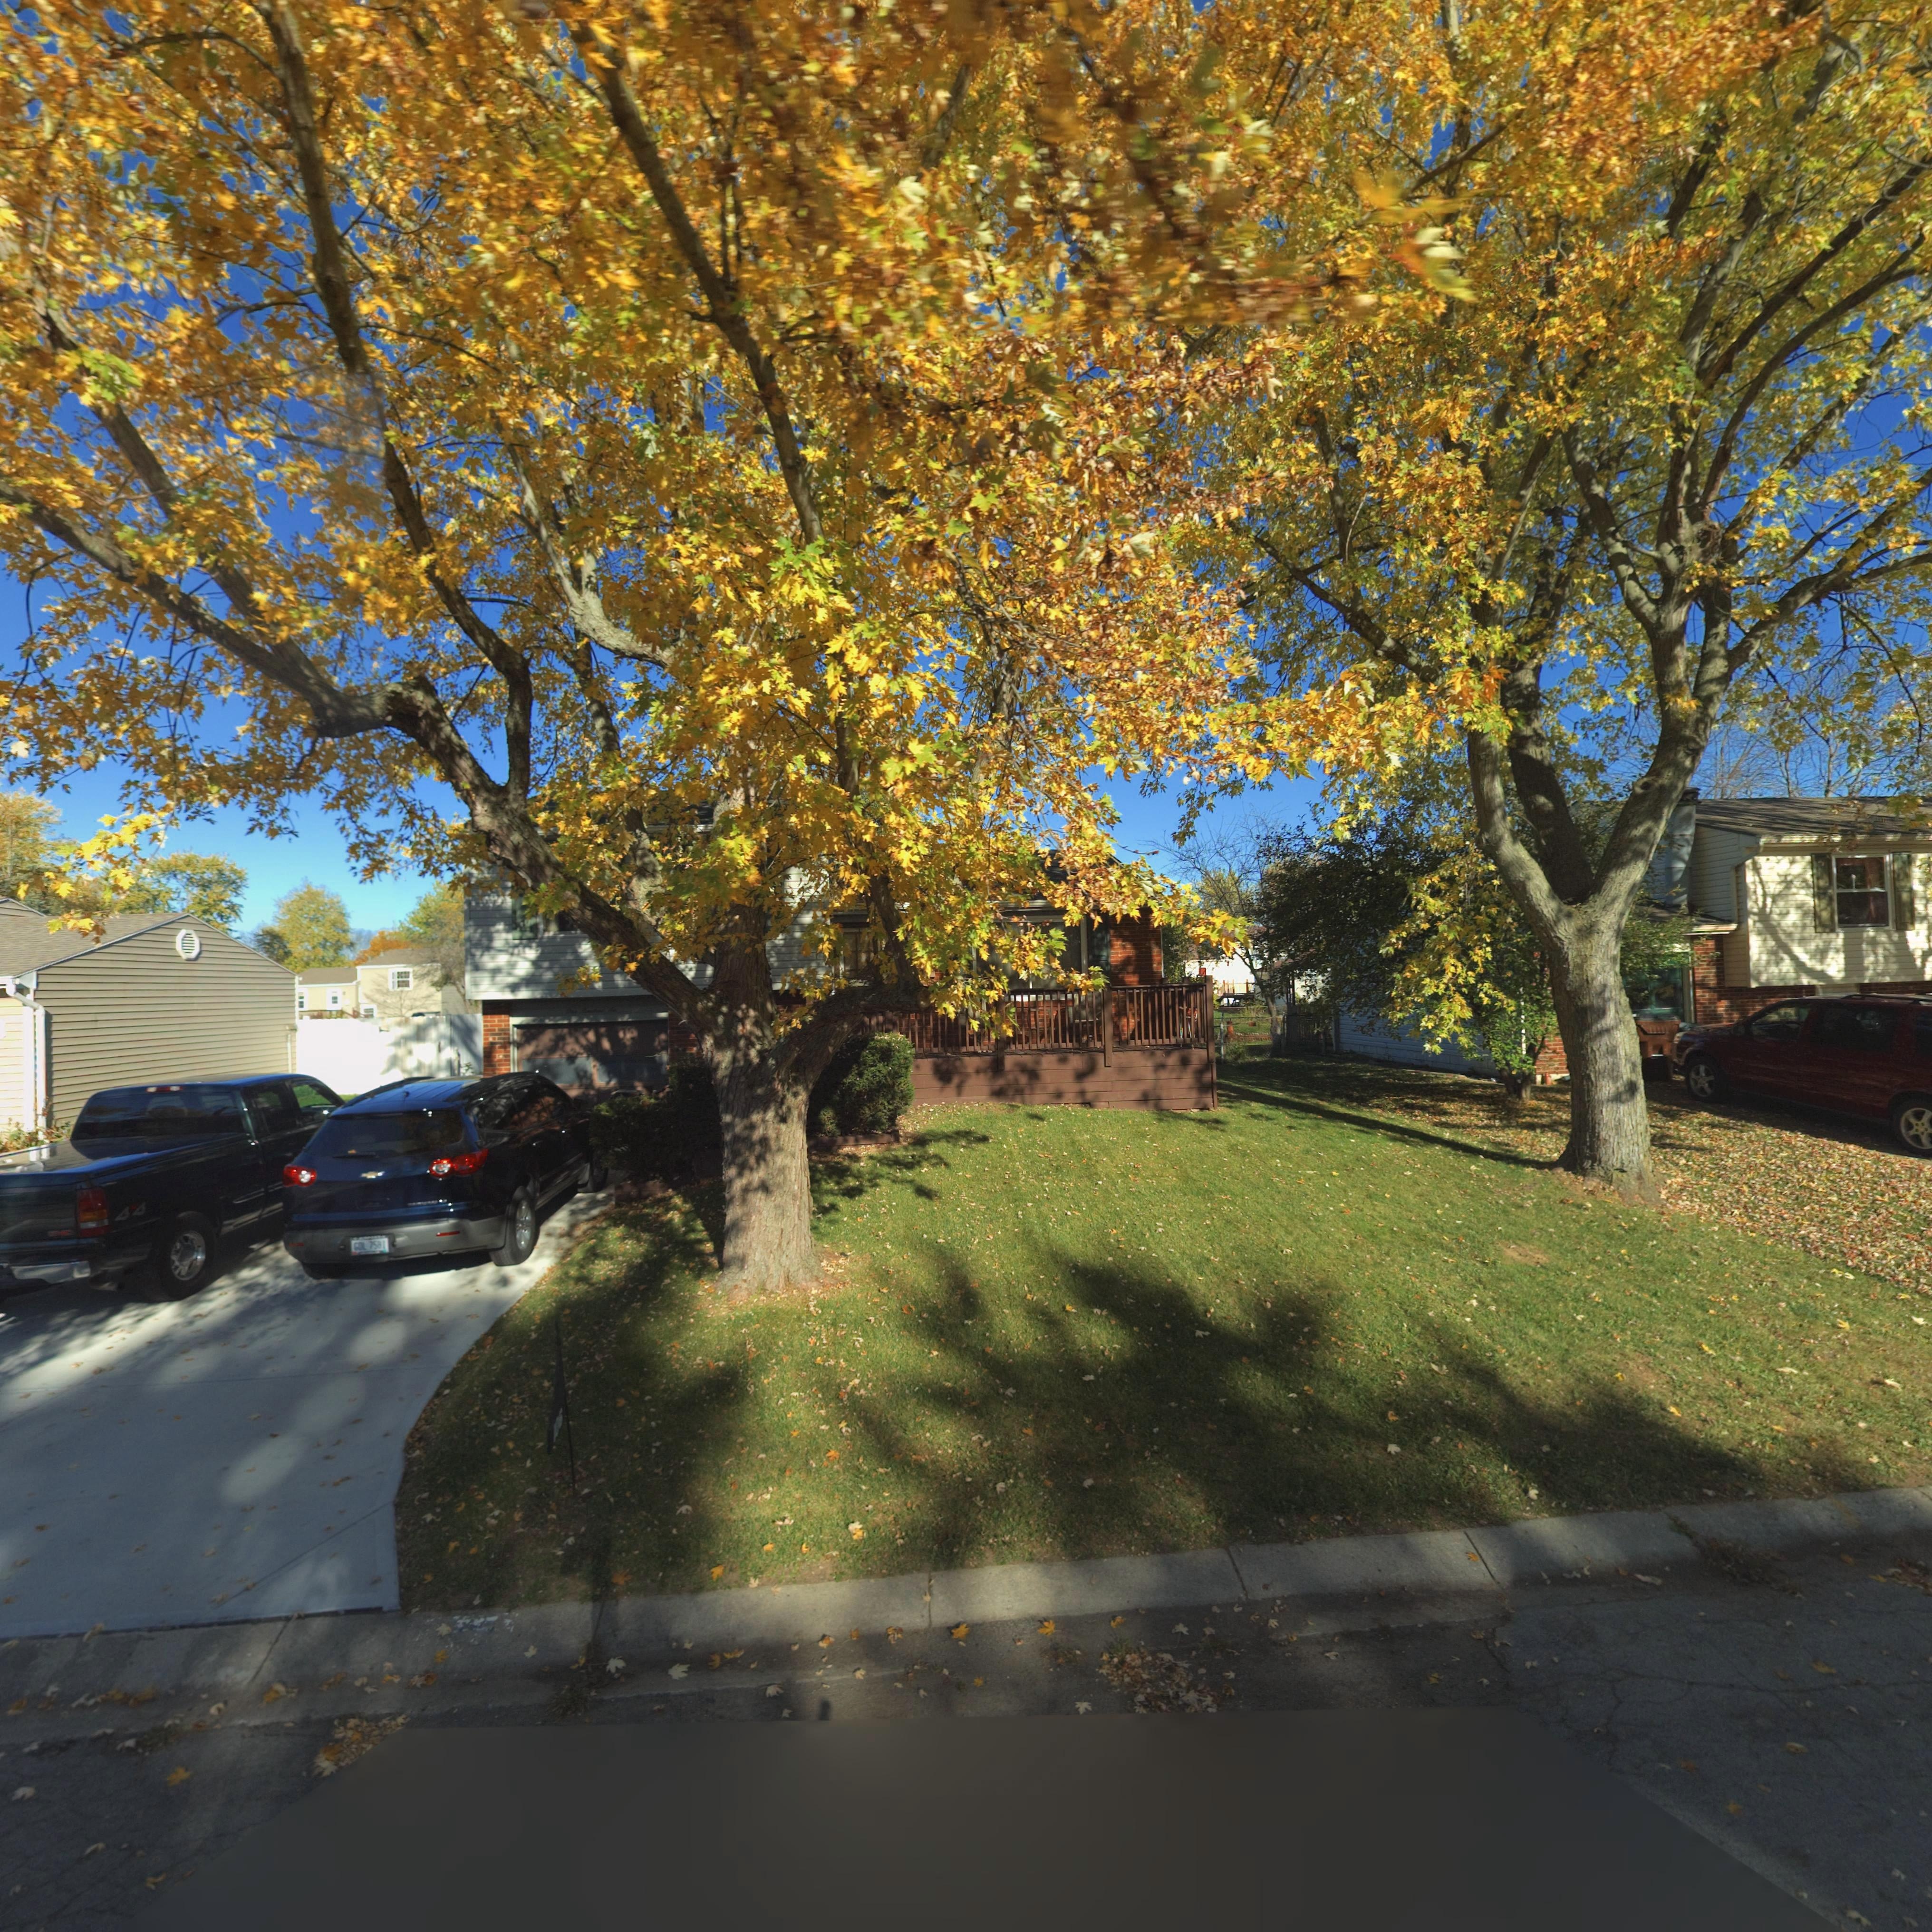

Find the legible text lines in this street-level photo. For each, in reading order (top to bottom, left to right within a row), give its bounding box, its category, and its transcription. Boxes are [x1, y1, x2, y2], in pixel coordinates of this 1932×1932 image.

[565, 1007, 607, 1014] StreetNumber: One Hundred
[552, 1406, 564, 1446] StreetNumber: *06